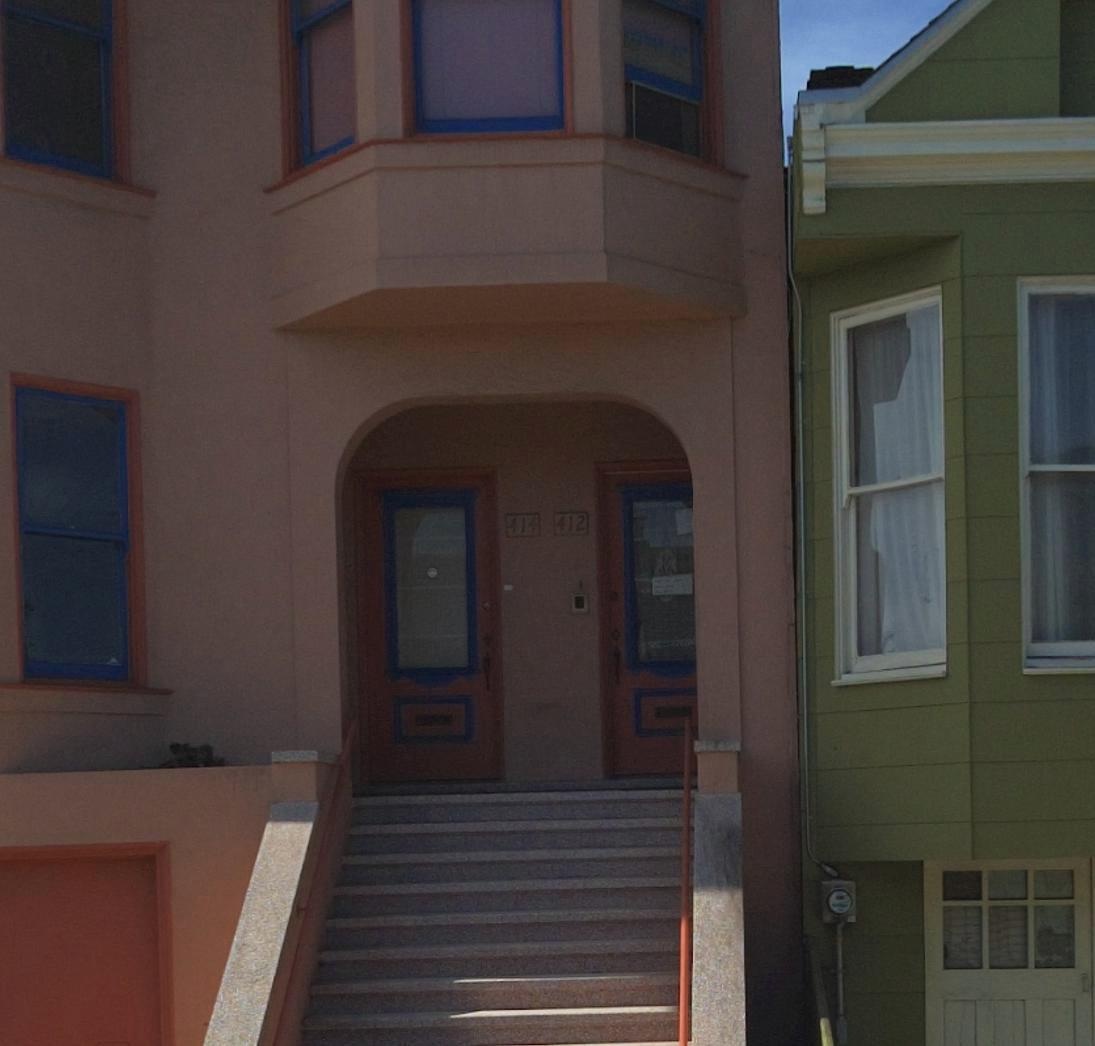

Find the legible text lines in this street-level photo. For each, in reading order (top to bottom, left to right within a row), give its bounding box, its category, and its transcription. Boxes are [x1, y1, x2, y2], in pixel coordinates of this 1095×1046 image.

[507, 513, 540, 535] StreetNumber: 414
[555, 512, 585, 532] StreetNumber: 412